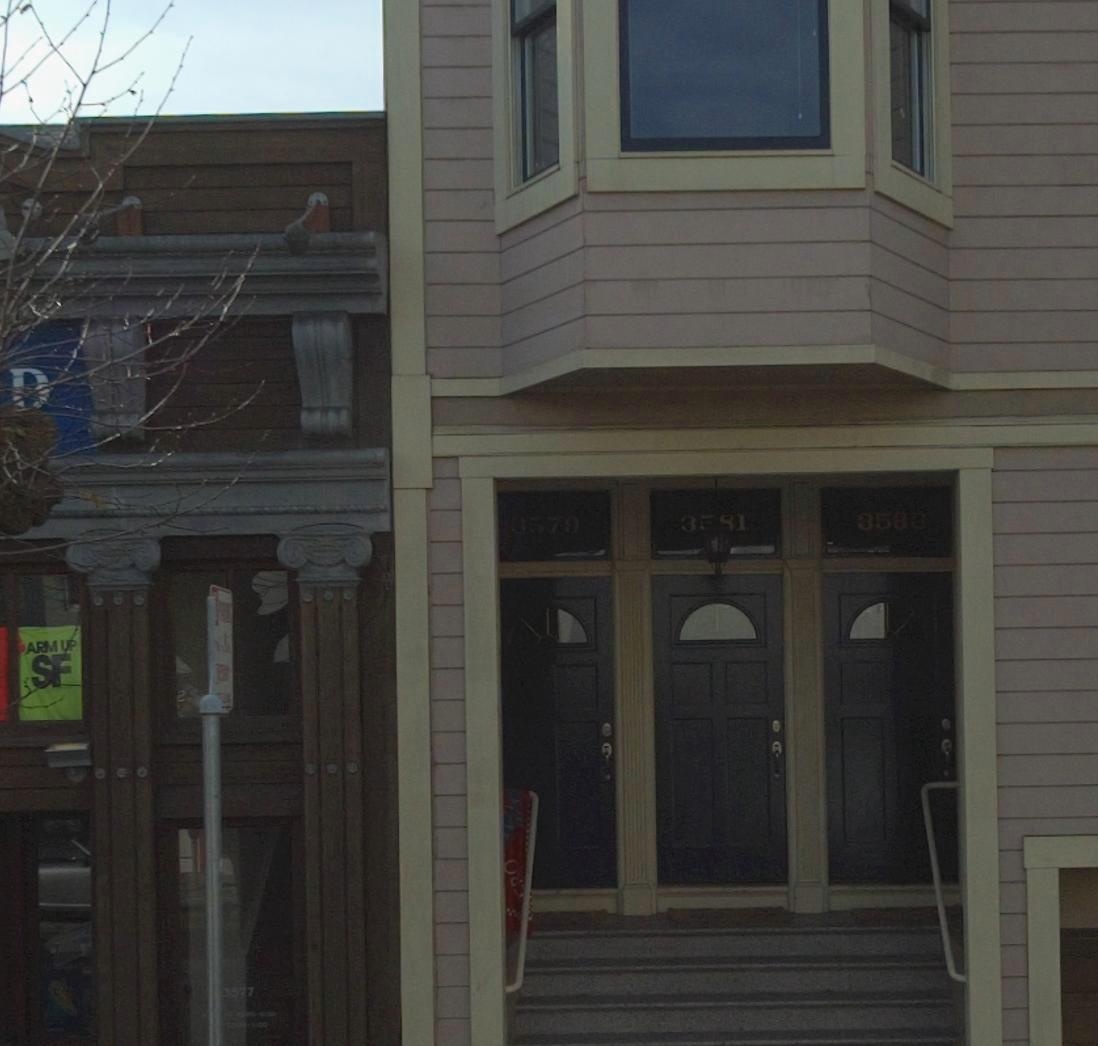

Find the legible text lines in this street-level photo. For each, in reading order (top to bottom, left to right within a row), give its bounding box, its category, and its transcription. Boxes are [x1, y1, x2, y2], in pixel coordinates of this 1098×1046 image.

[509, 513, 581, 536] StreetNumber: 3579
[678, 511, 748, 536] StreetNumber: 3581
[855, 510, 928, 533] StreetNumber: 3583
[22, 638, 79, 656] None: ARM UP
[29, 651, 74, 691] None: SF